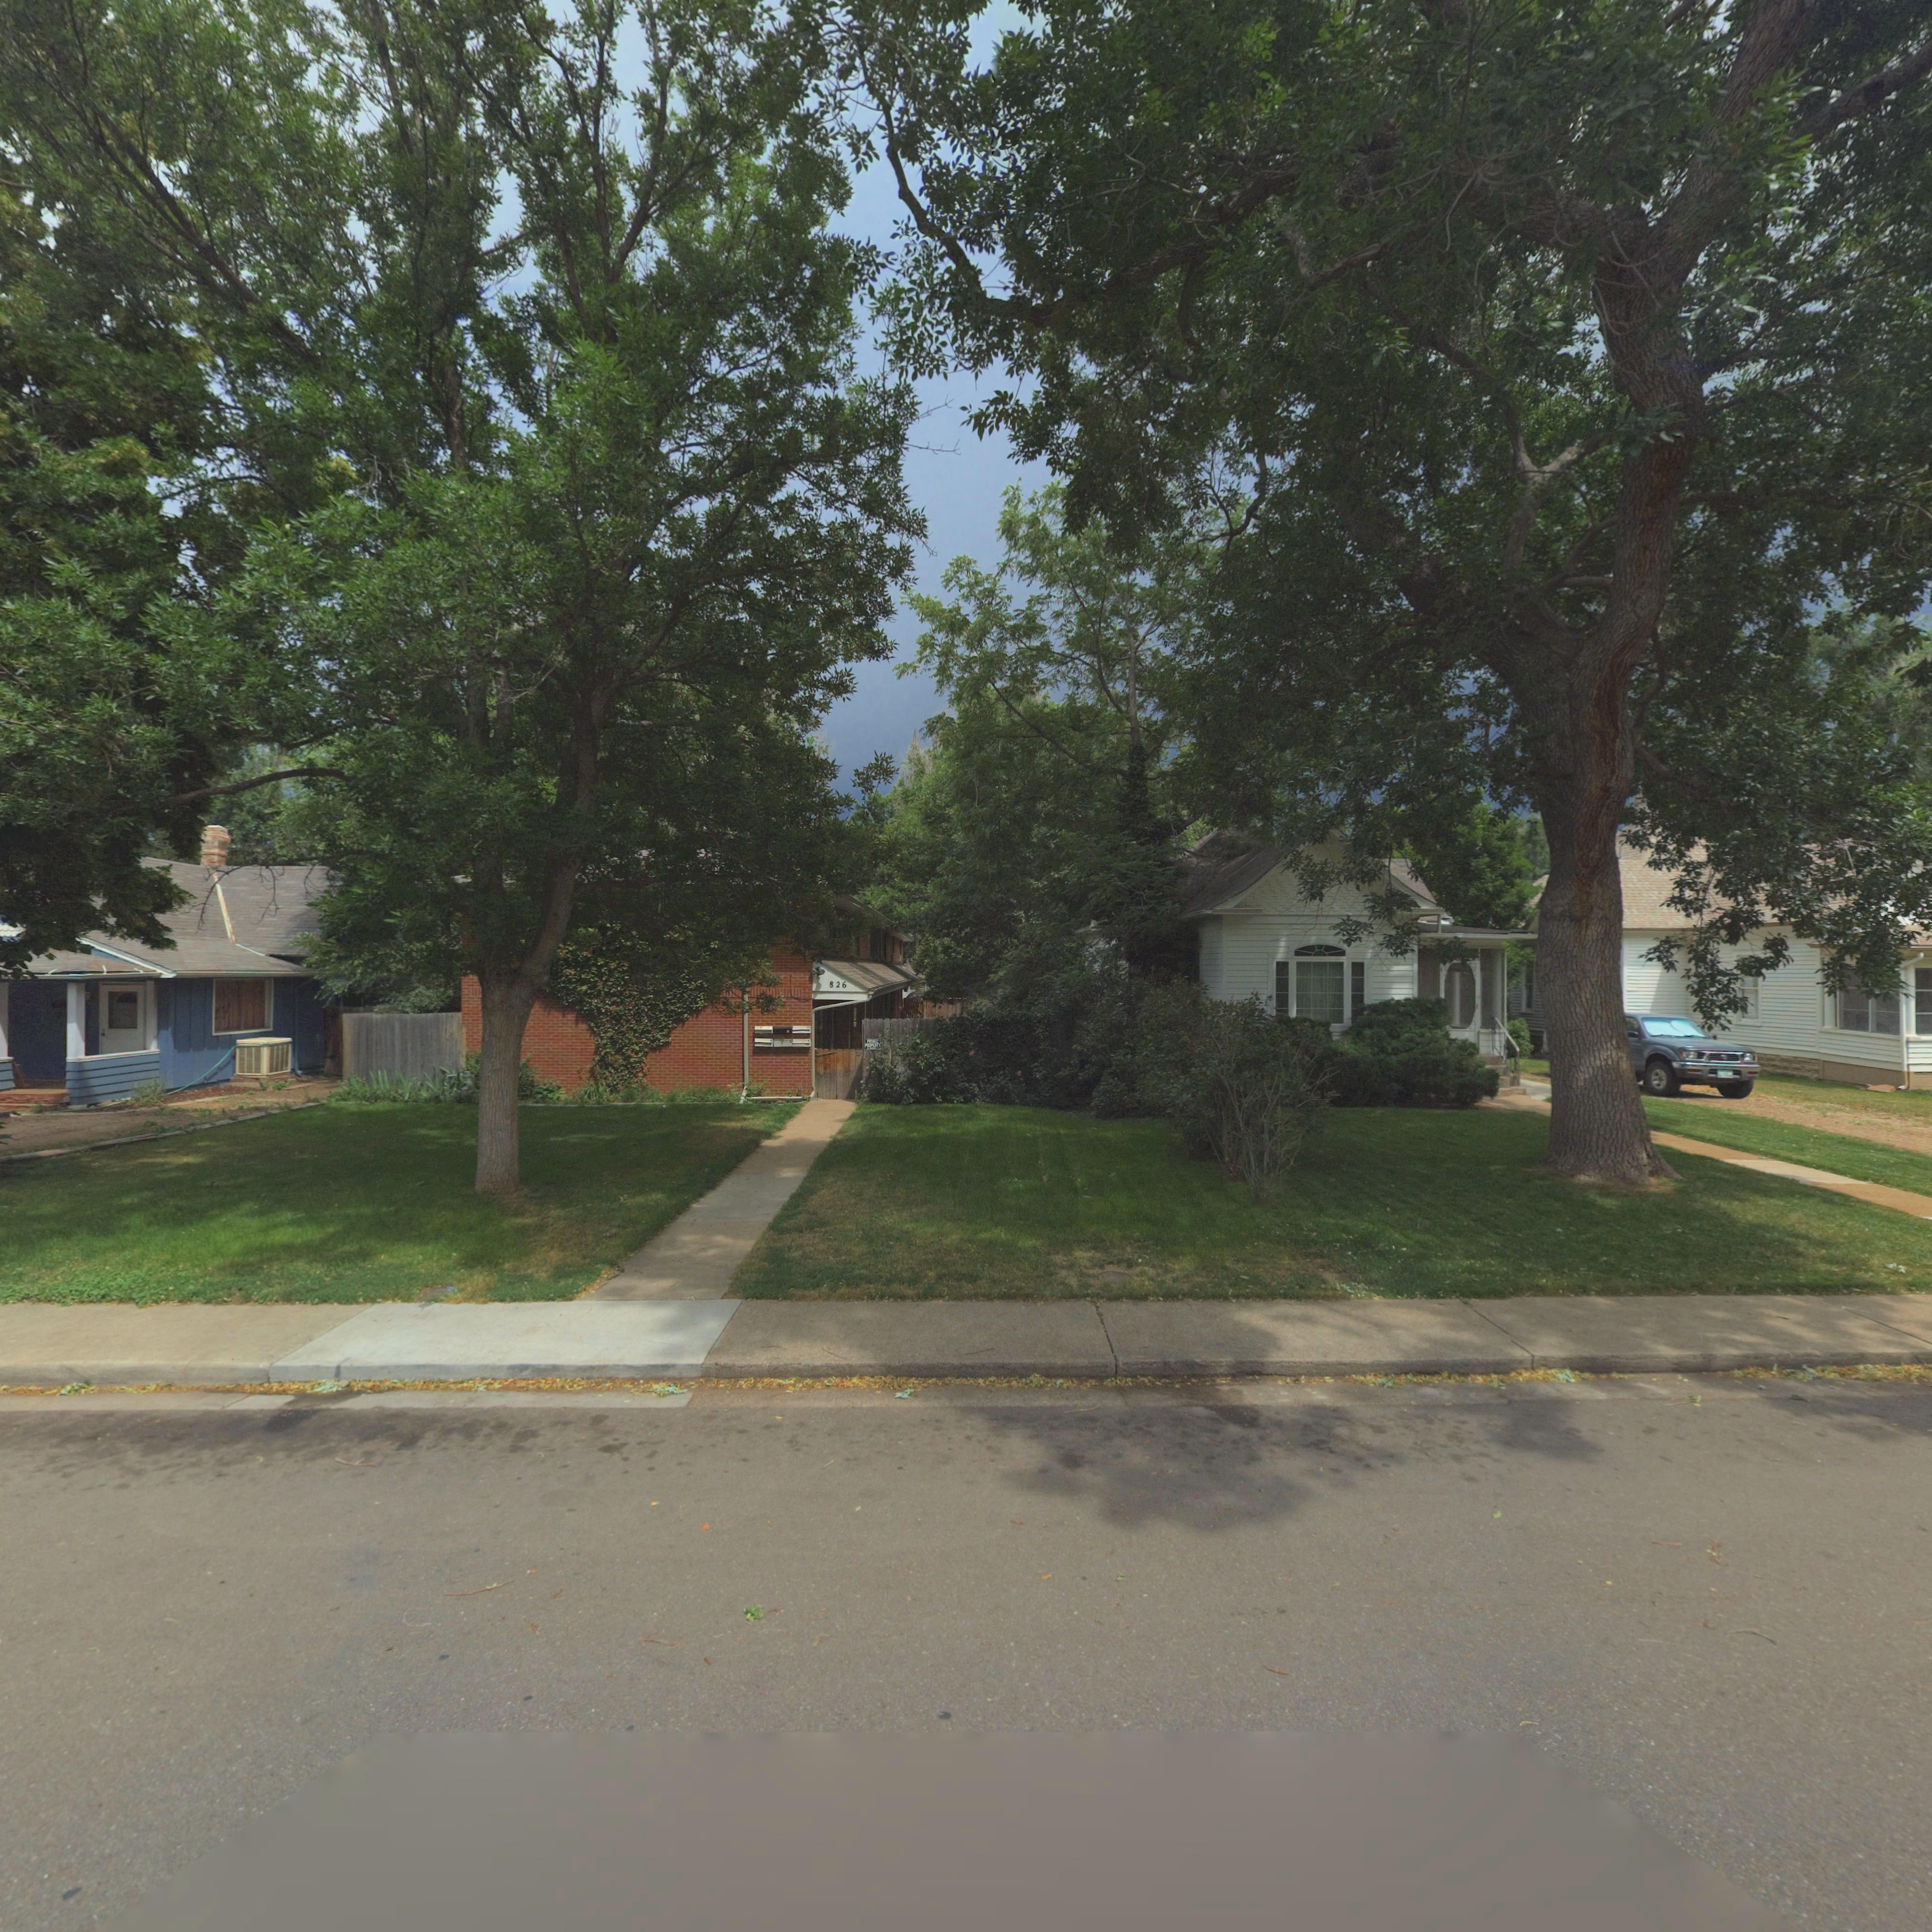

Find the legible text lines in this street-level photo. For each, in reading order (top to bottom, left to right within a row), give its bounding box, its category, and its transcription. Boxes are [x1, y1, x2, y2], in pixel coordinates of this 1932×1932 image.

[829, 980, 847, 988] StreetNumber: 826